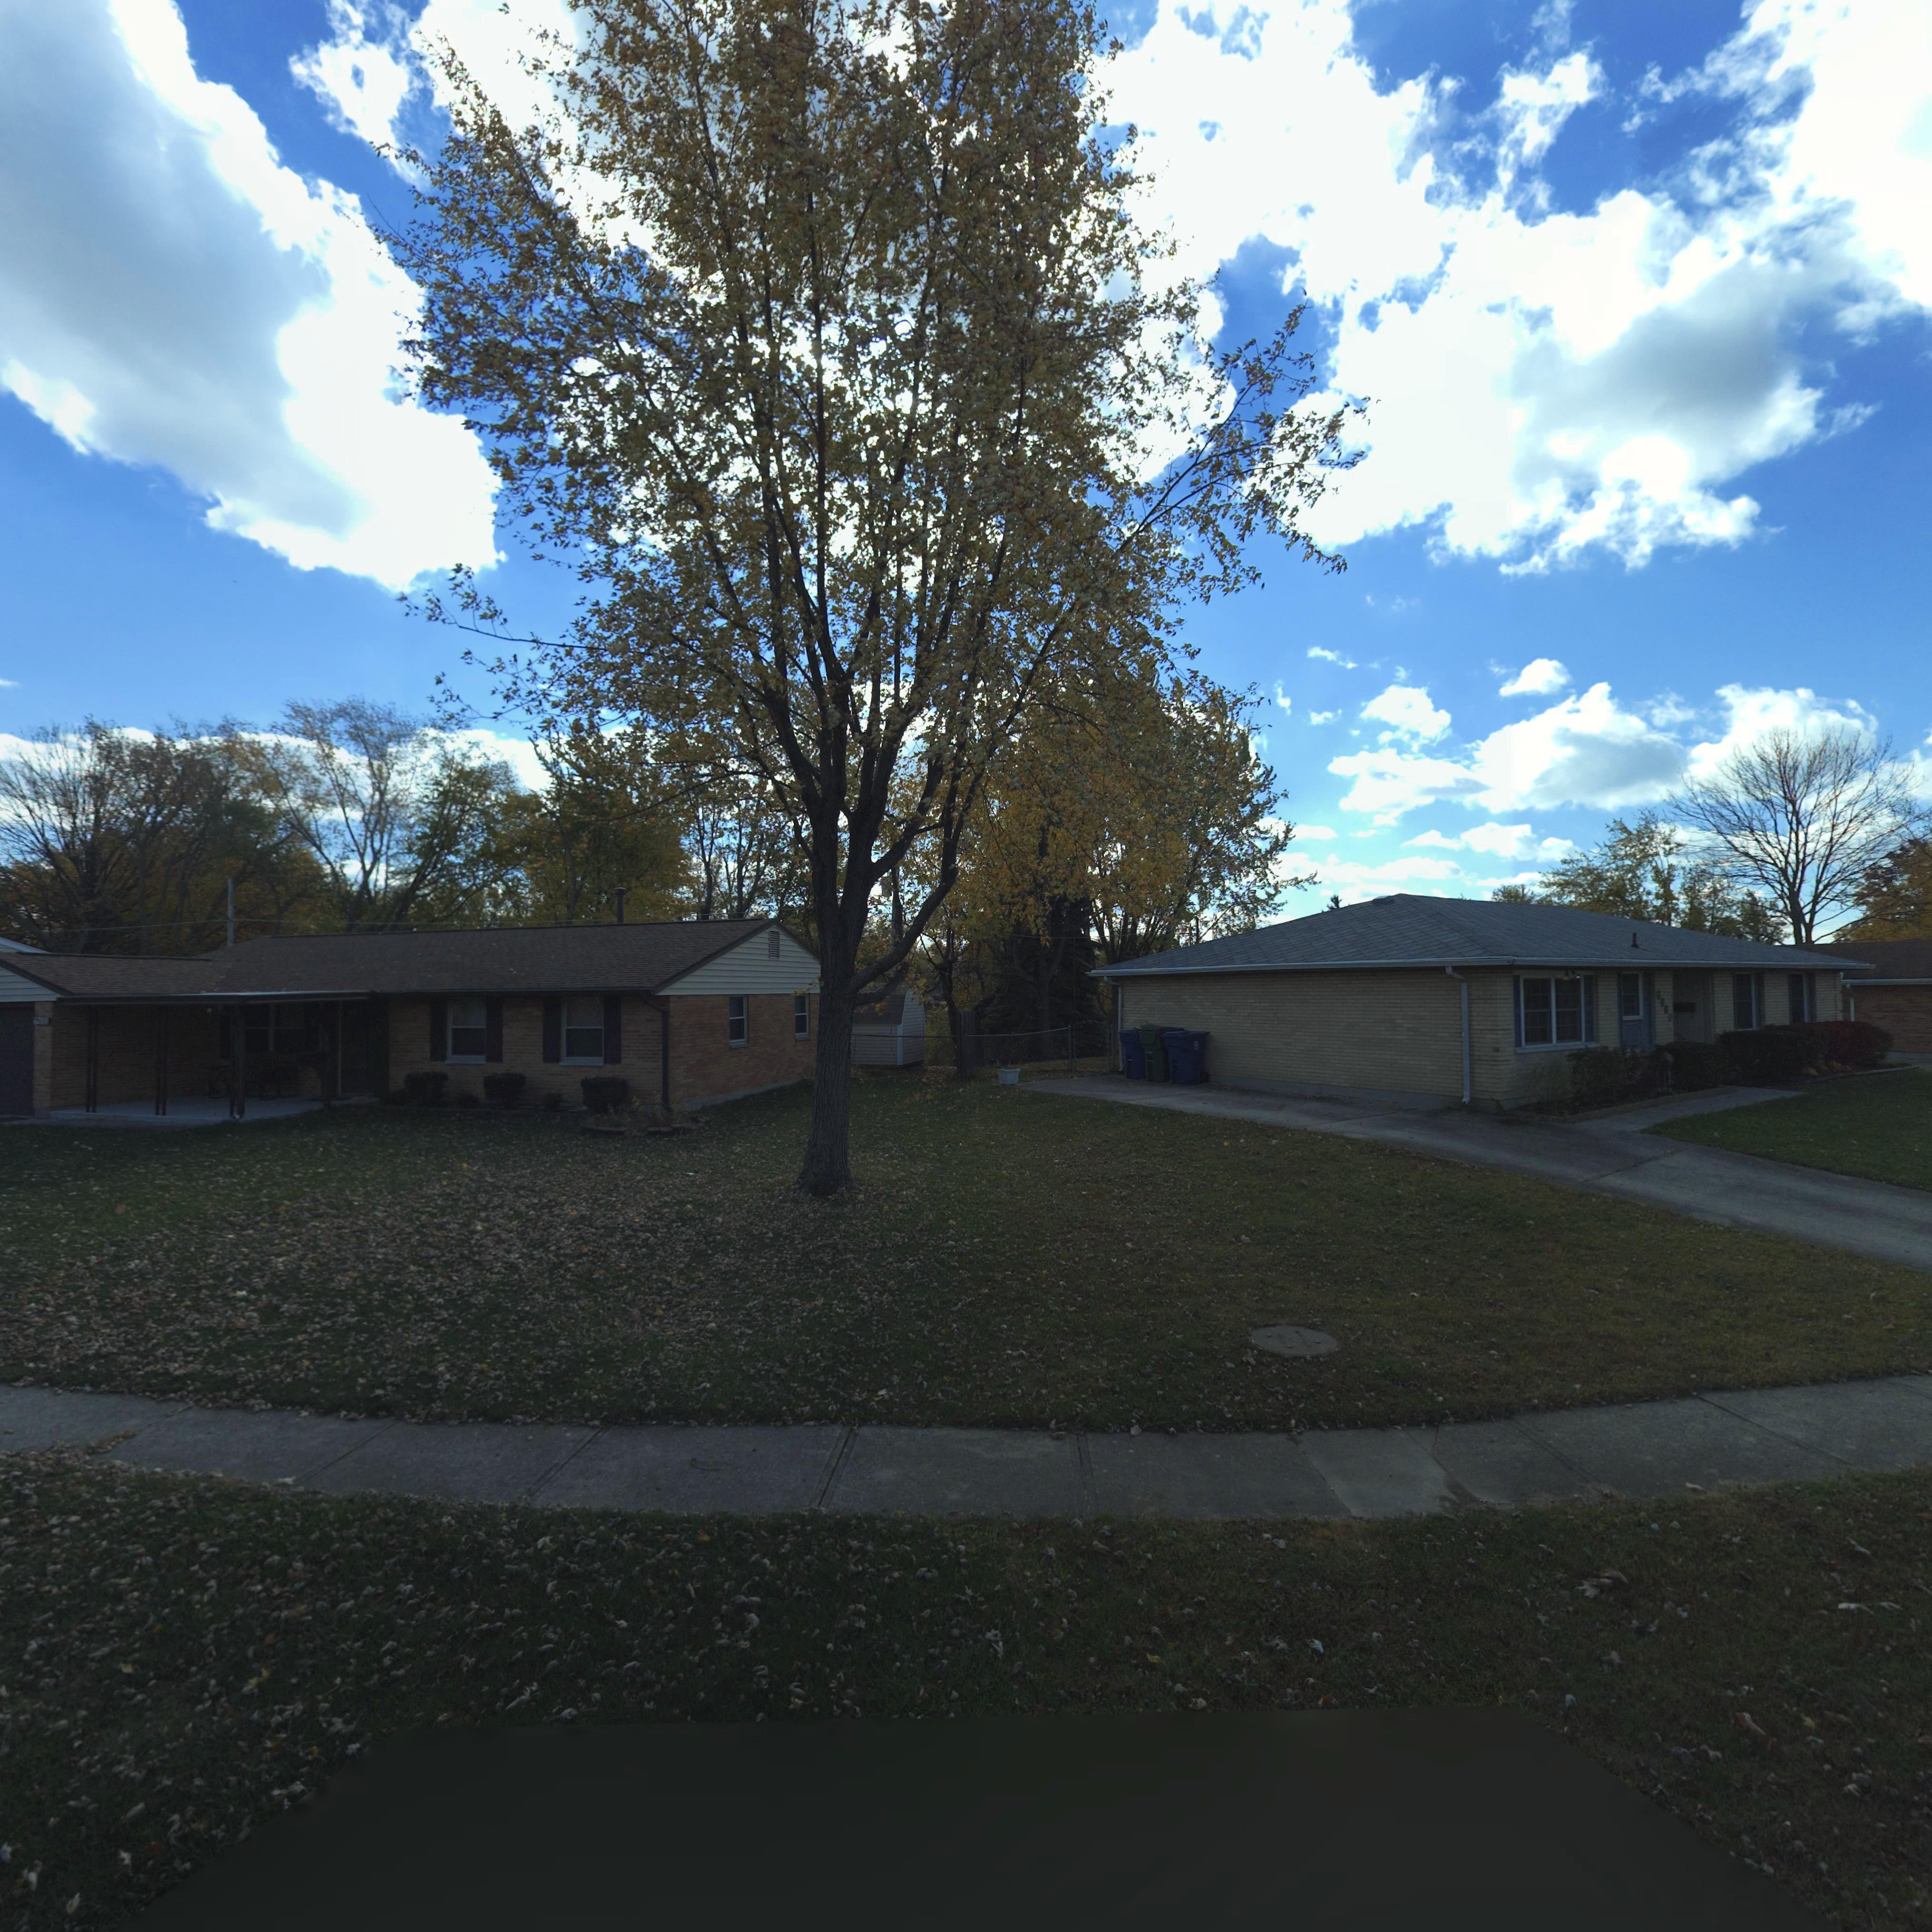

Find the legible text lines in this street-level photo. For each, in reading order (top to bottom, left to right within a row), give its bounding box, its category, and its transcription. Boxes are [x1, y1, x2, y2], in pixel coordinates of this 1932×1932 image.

[32, 1017, 48, 1025] StreetNumber: 6700
[1655, 990, 1674, 1022] StreetNumber: 6660